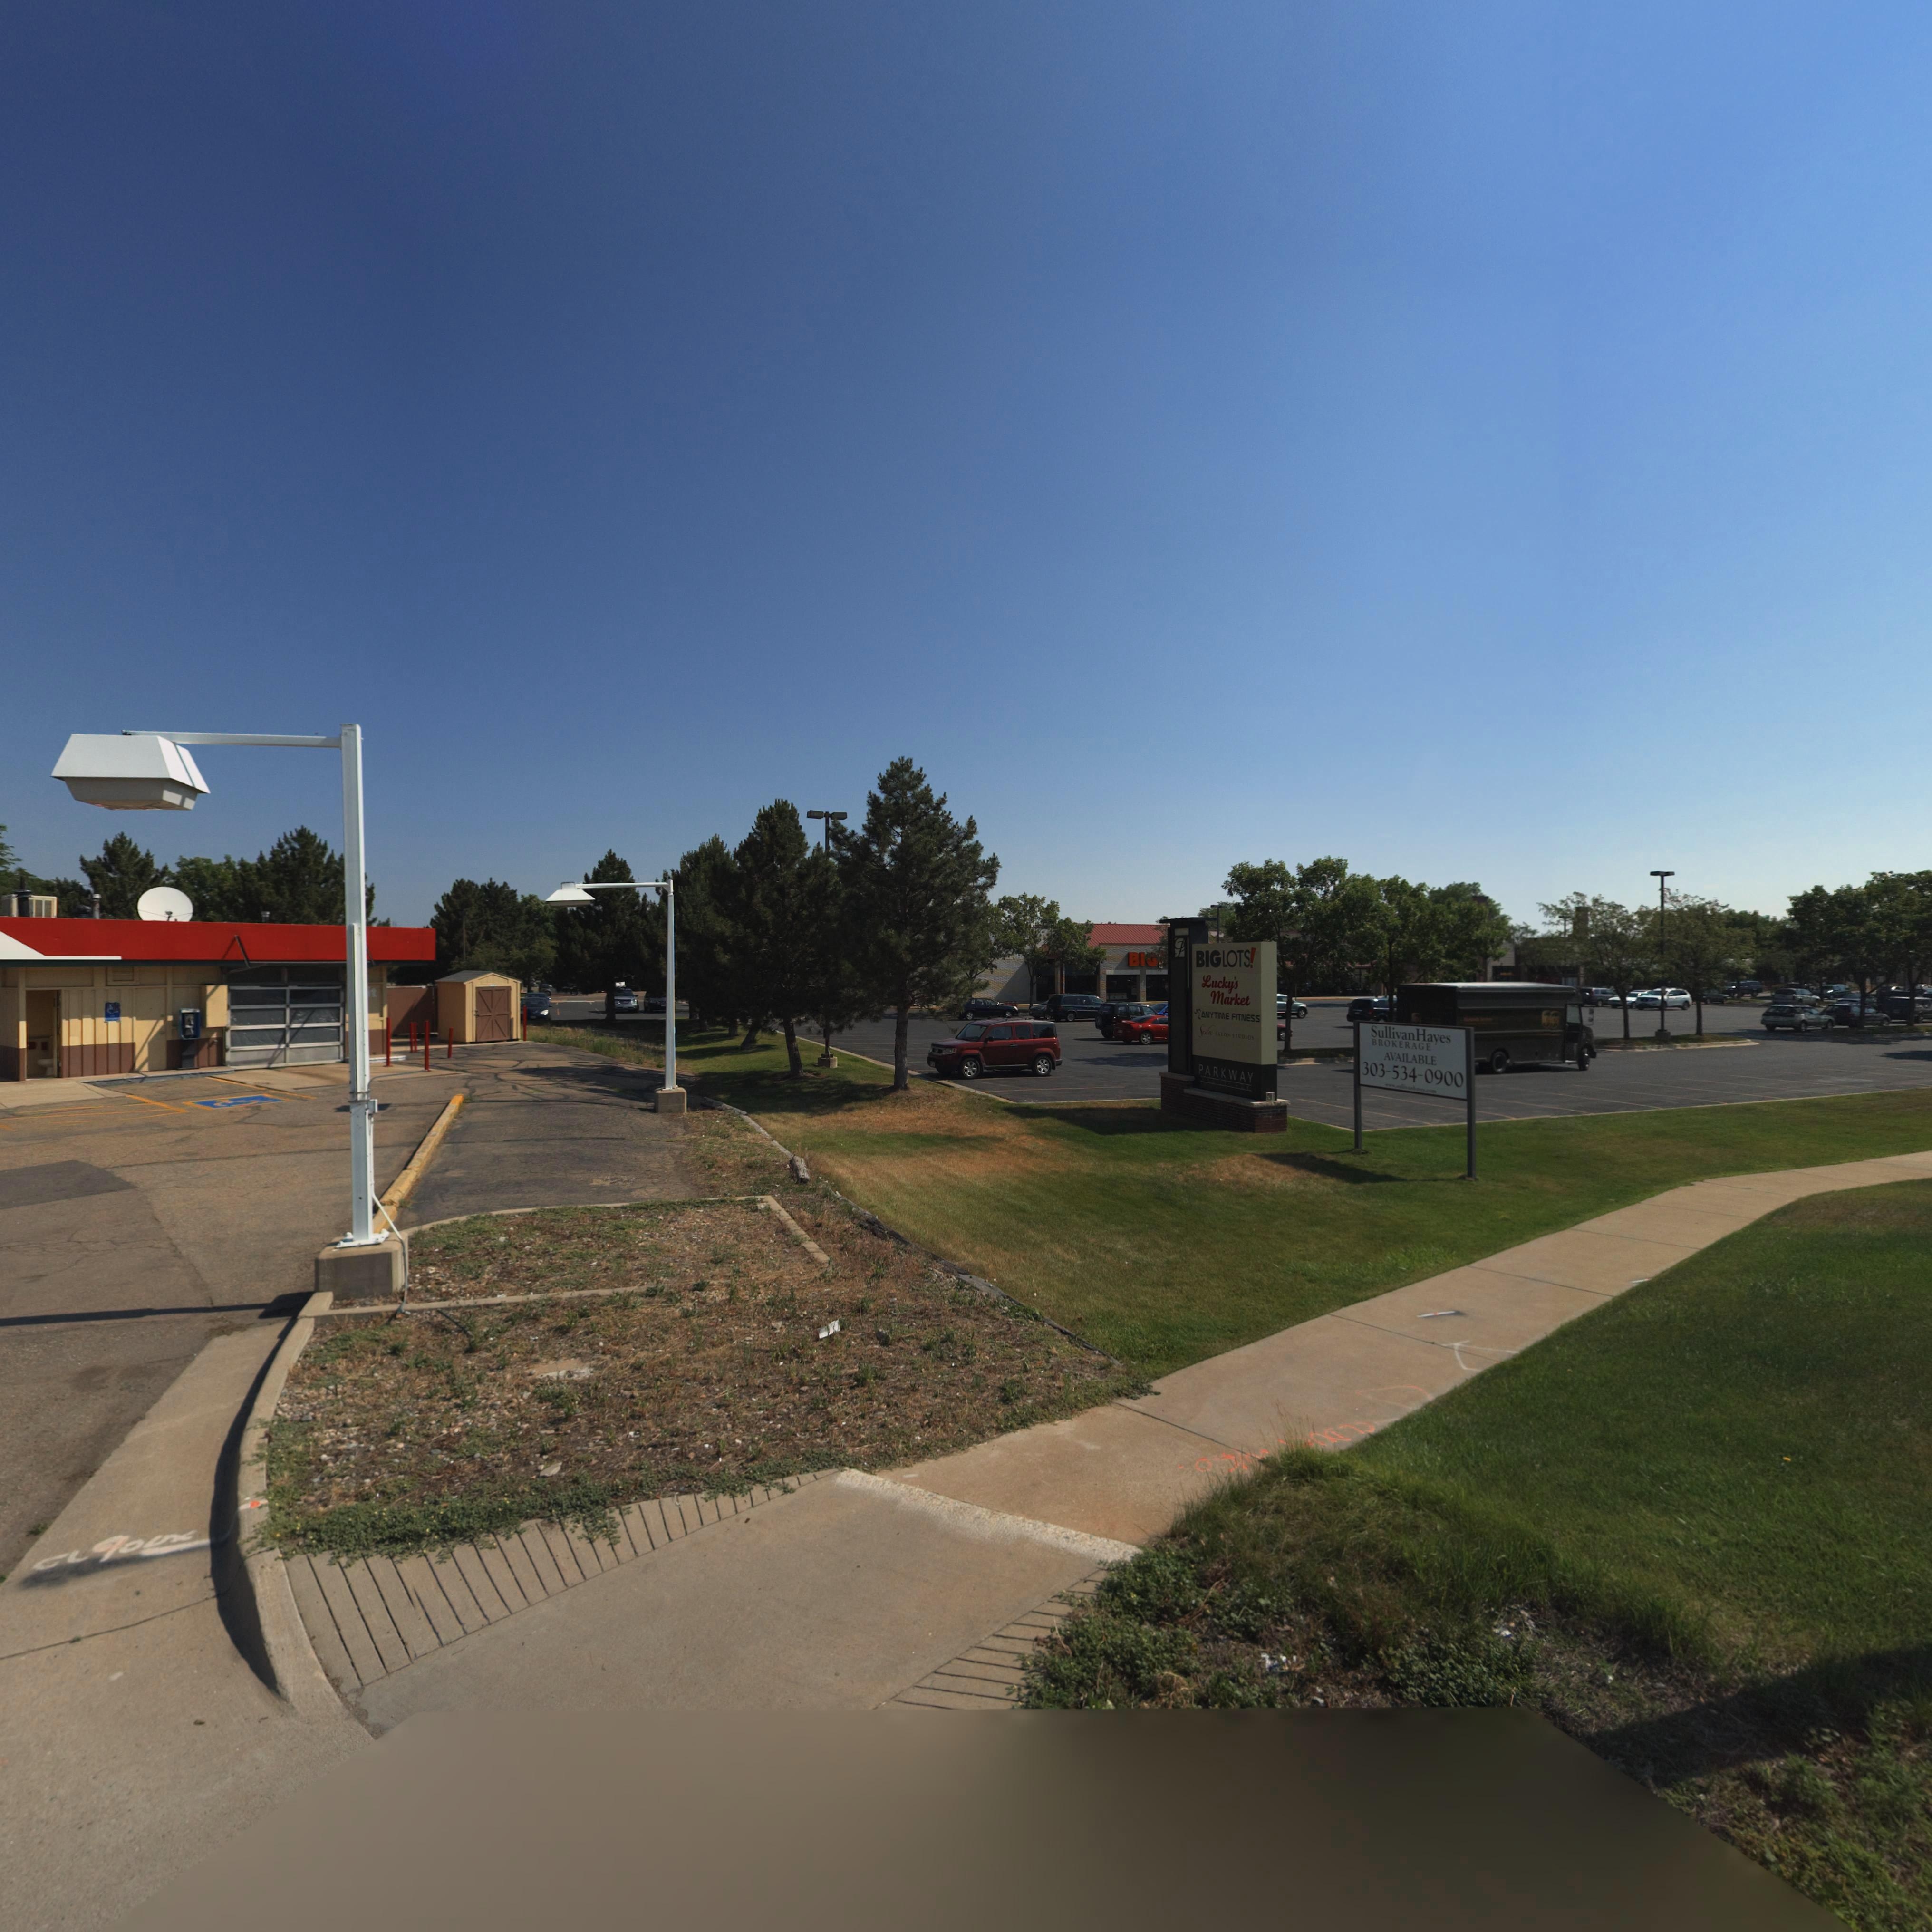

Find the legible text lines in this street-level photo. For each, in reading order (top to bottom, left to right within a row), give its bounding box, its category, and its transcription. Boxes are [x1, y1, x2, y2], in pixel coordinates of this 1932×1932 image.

[1128, 949, 1167, 968] BusinessName: BI******
[1195, 947, 1256, 968] BusinessName: BIG LOTS!
[1201, 974, 1239, 994] BusinessName: Lucky's
[1209, 990, 1251, 1006] BusinessName: Market
[1200, 1011, 1260, 1023] BusinessName: ANYTIME FITNESS
[1198, 1024, 1254, 1040] BusinessName: Sola SALON STUDIOS